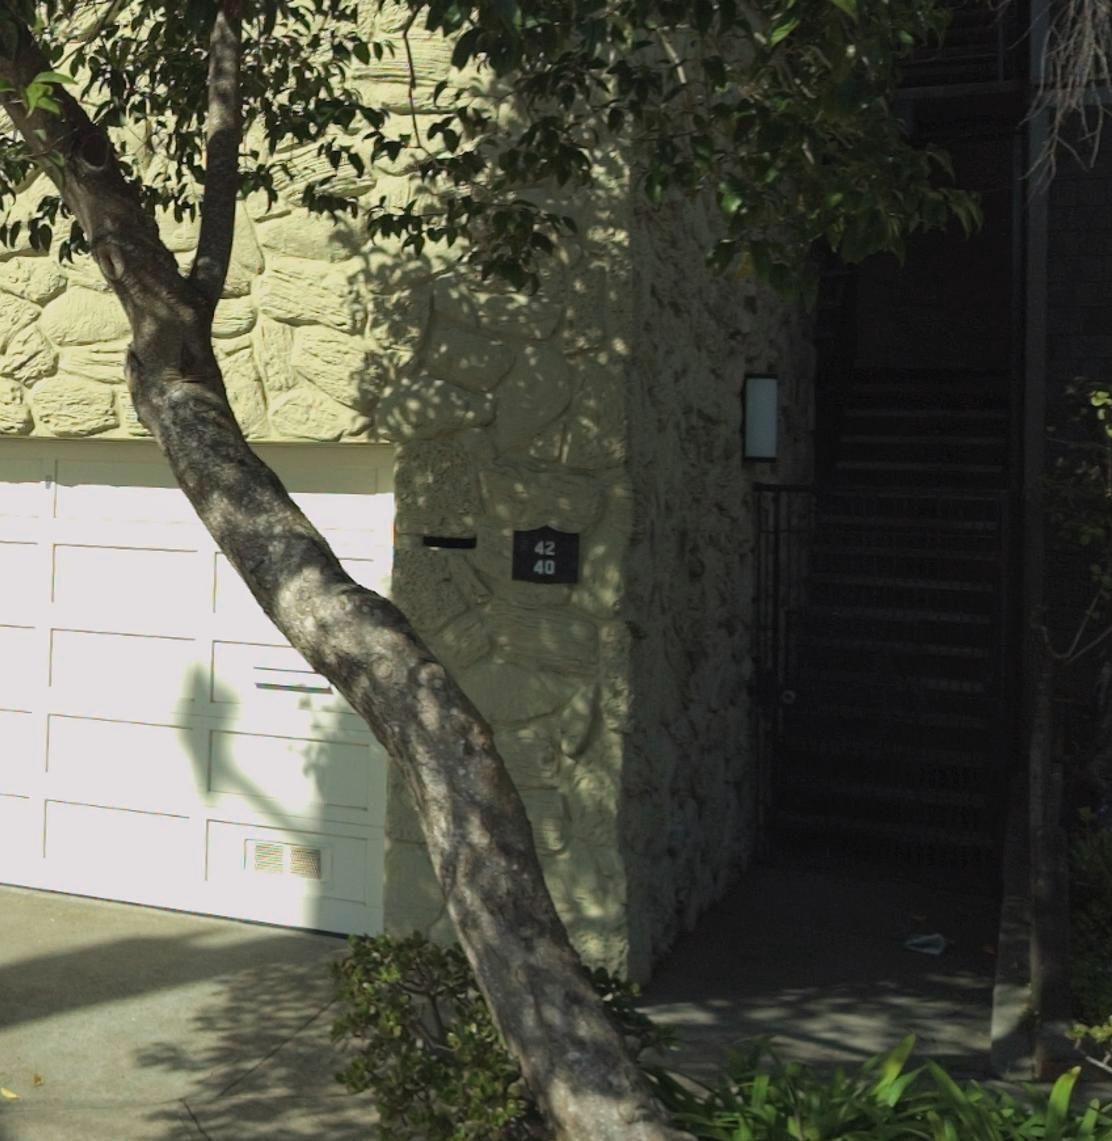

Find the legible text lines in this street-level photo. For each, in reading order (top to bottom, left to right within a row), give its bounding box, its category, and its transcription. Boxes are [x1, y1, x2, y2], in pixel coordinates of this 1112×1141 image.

[531, 538, 557, 557] StreetNumber: 42
[531, 558, 557, 576] StreetNumber: 40